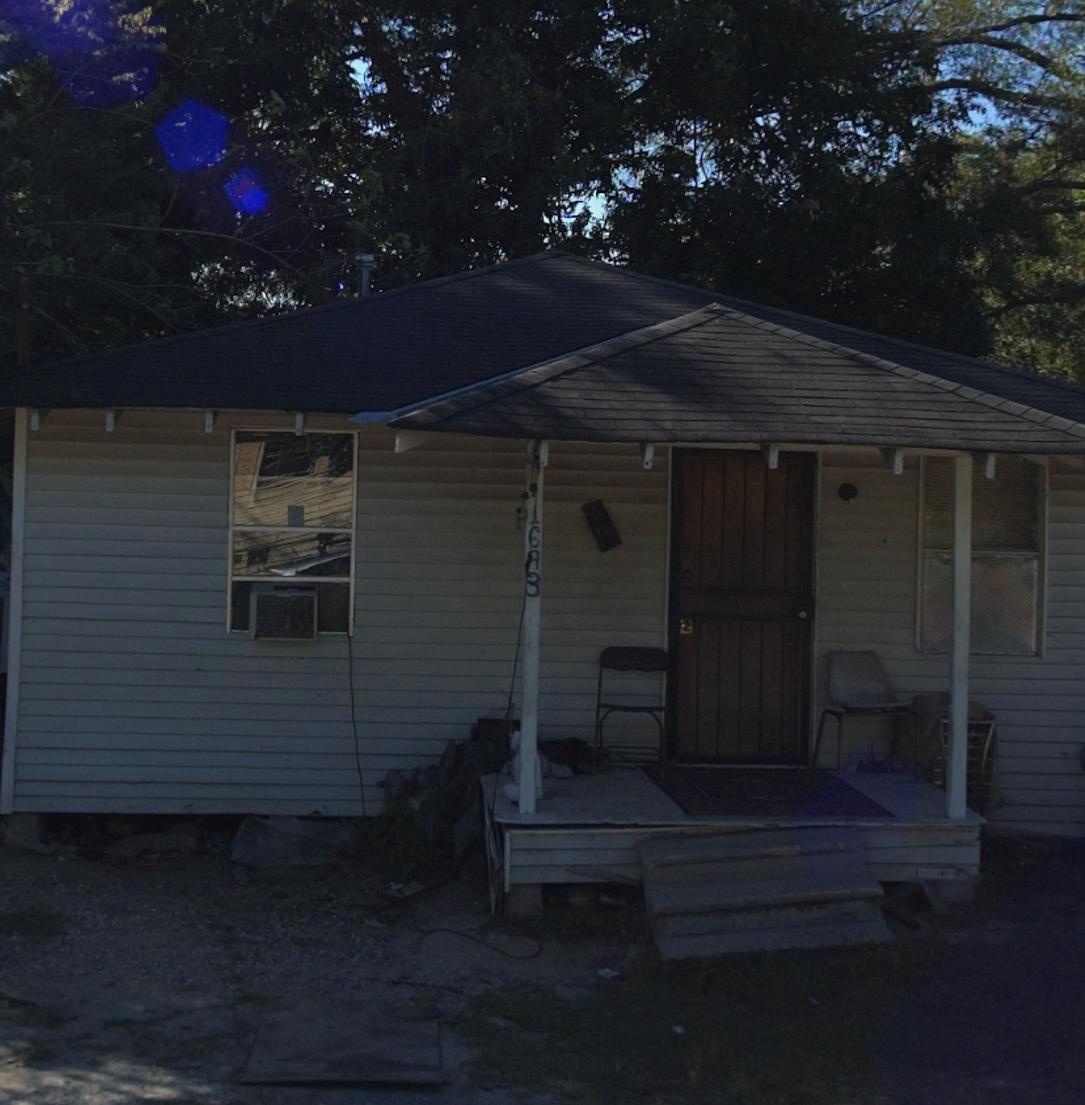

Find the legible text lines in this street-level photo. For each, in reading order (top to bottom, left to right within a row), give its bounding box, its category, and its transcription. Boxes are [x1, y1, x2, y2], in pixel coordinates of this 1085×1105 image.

[527, 505, 541, 599] StreetNumber: 1693